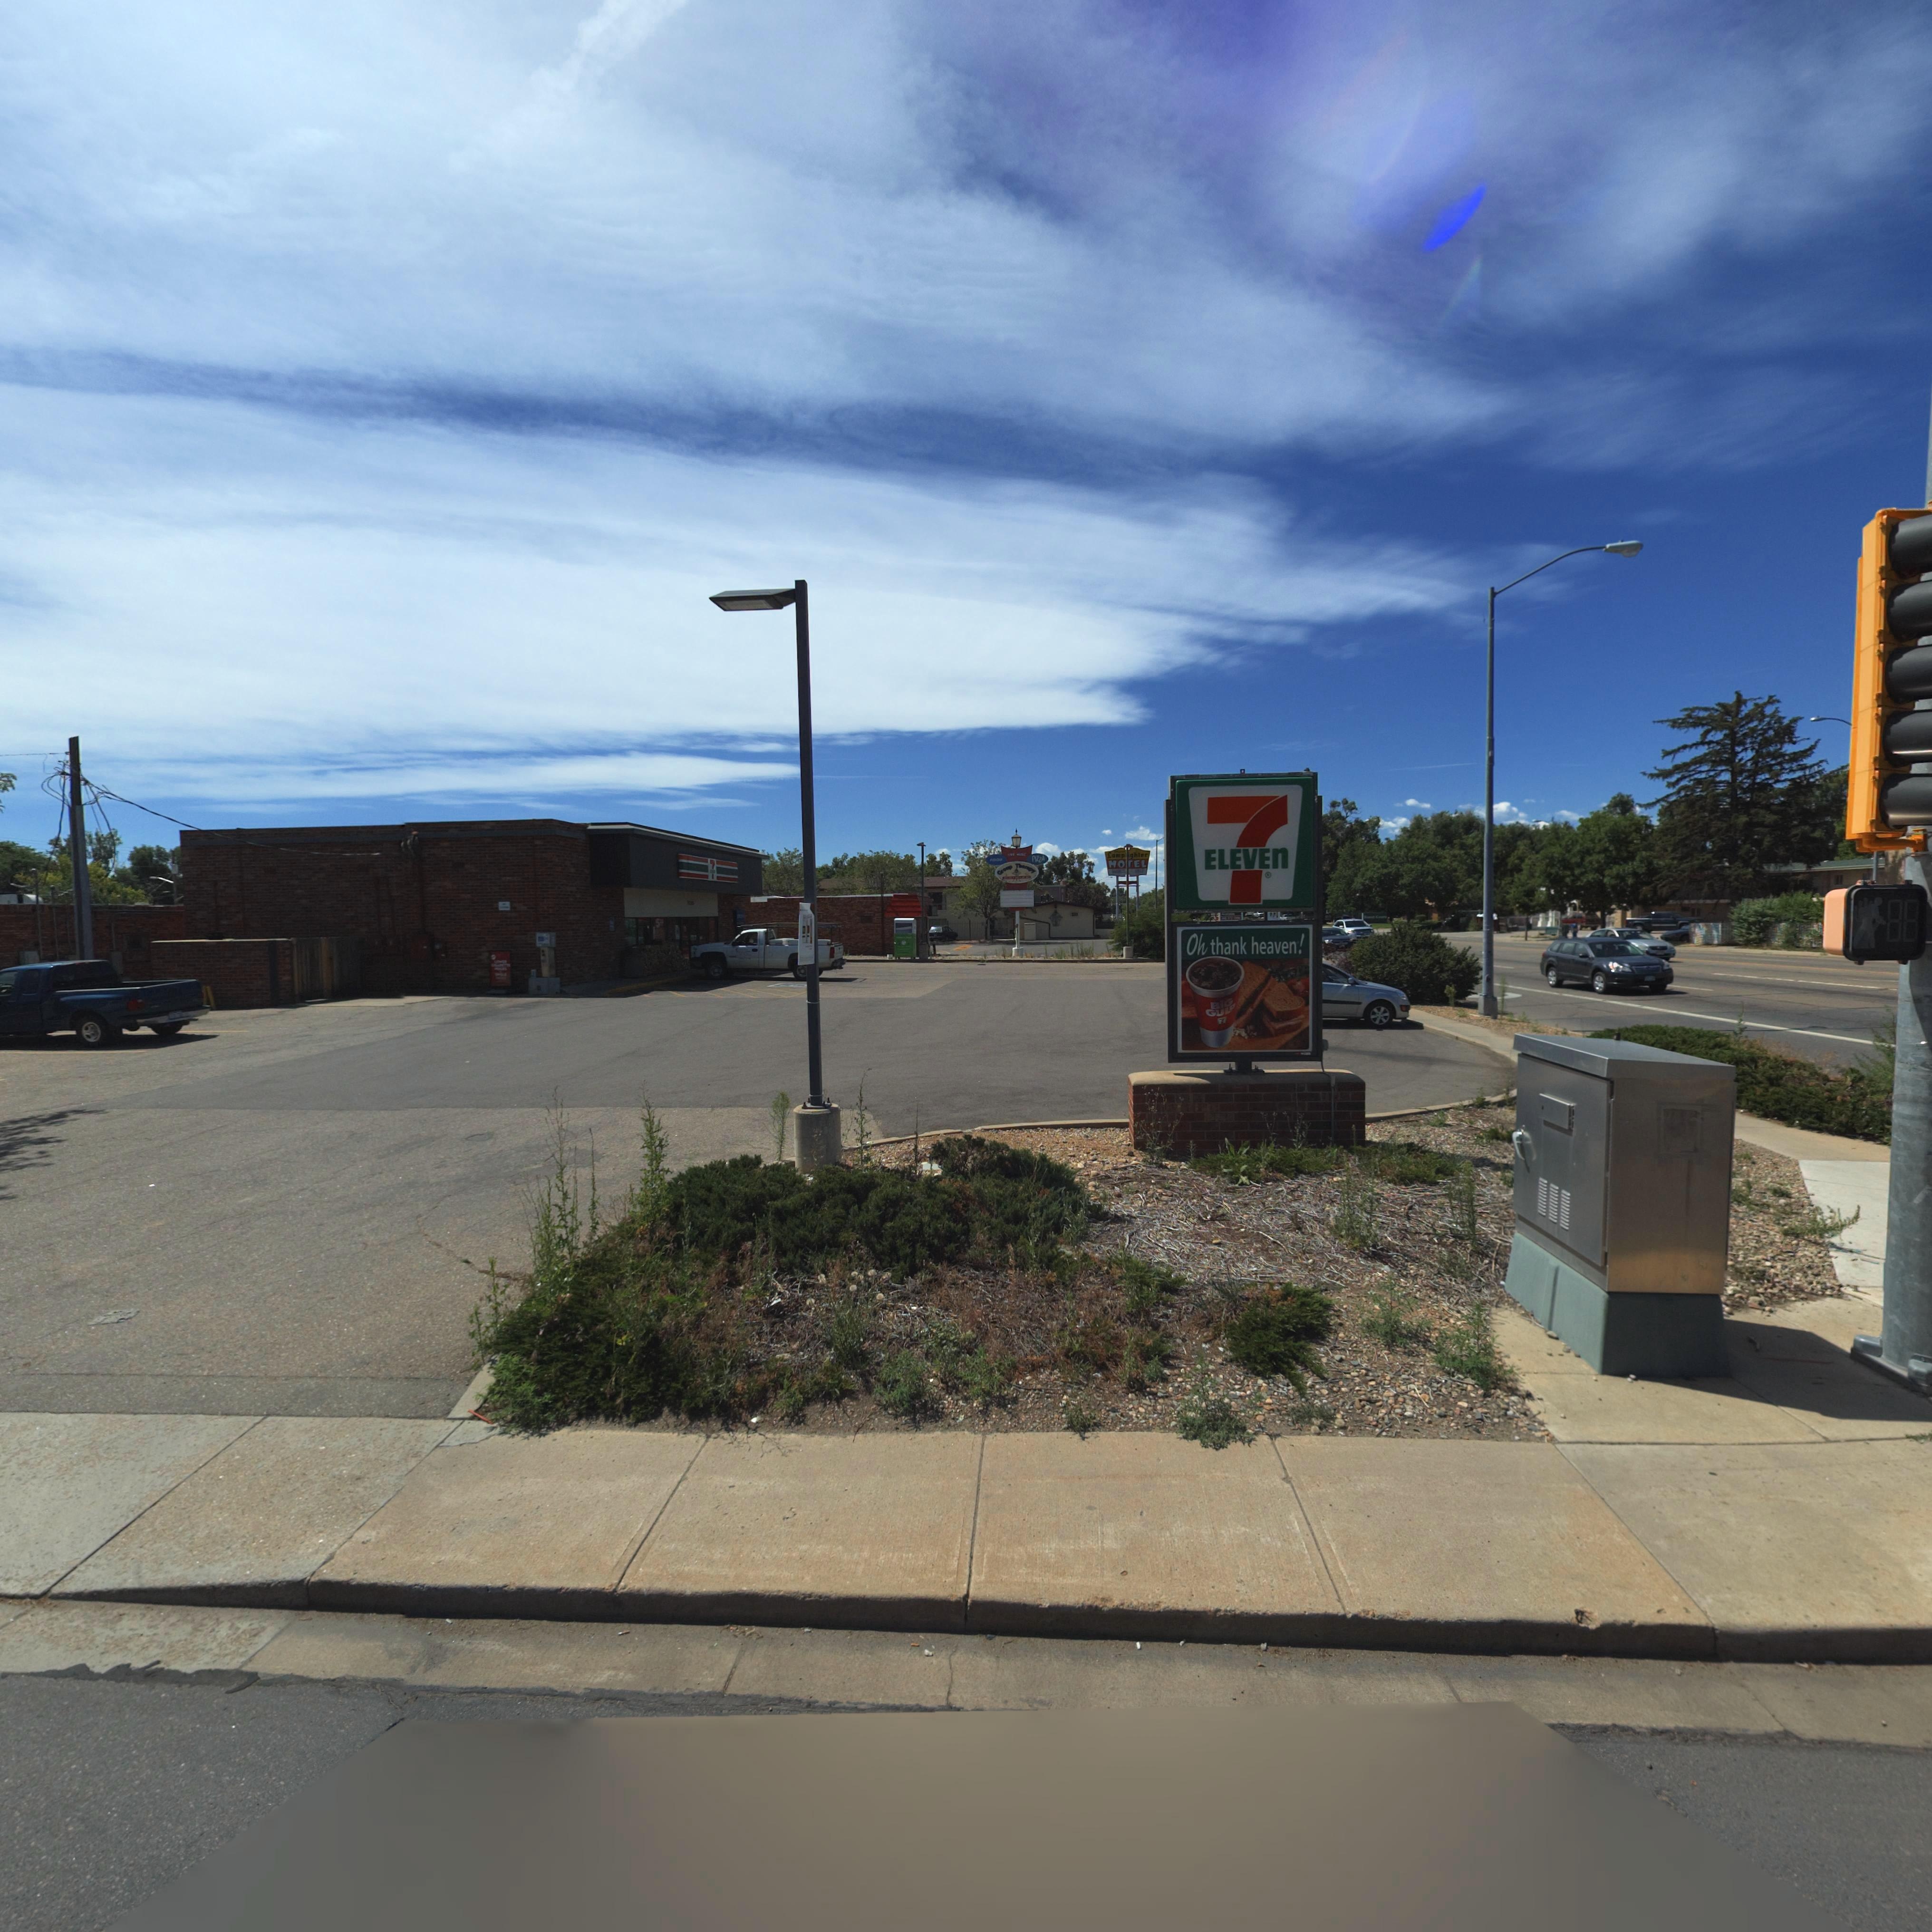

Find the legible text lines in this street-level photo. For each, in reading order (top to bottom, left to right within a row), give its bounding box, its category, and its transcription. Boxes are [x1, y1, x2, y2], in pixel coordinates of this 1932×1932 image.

[709, 859, 715, 879] BusinessName: 7
[1108, 859, 1147, 868] BusinessName: MOTEL
[1107, 851, 1149, 860] BusinessName: Lamp**ghter
[1204, 847, 1289, 870] BusinessName: ELEVEn
[1207, 793, 1288, 904] BusinessName: 7
[1218, 1018, 1225, 1024] BusinessName: 7